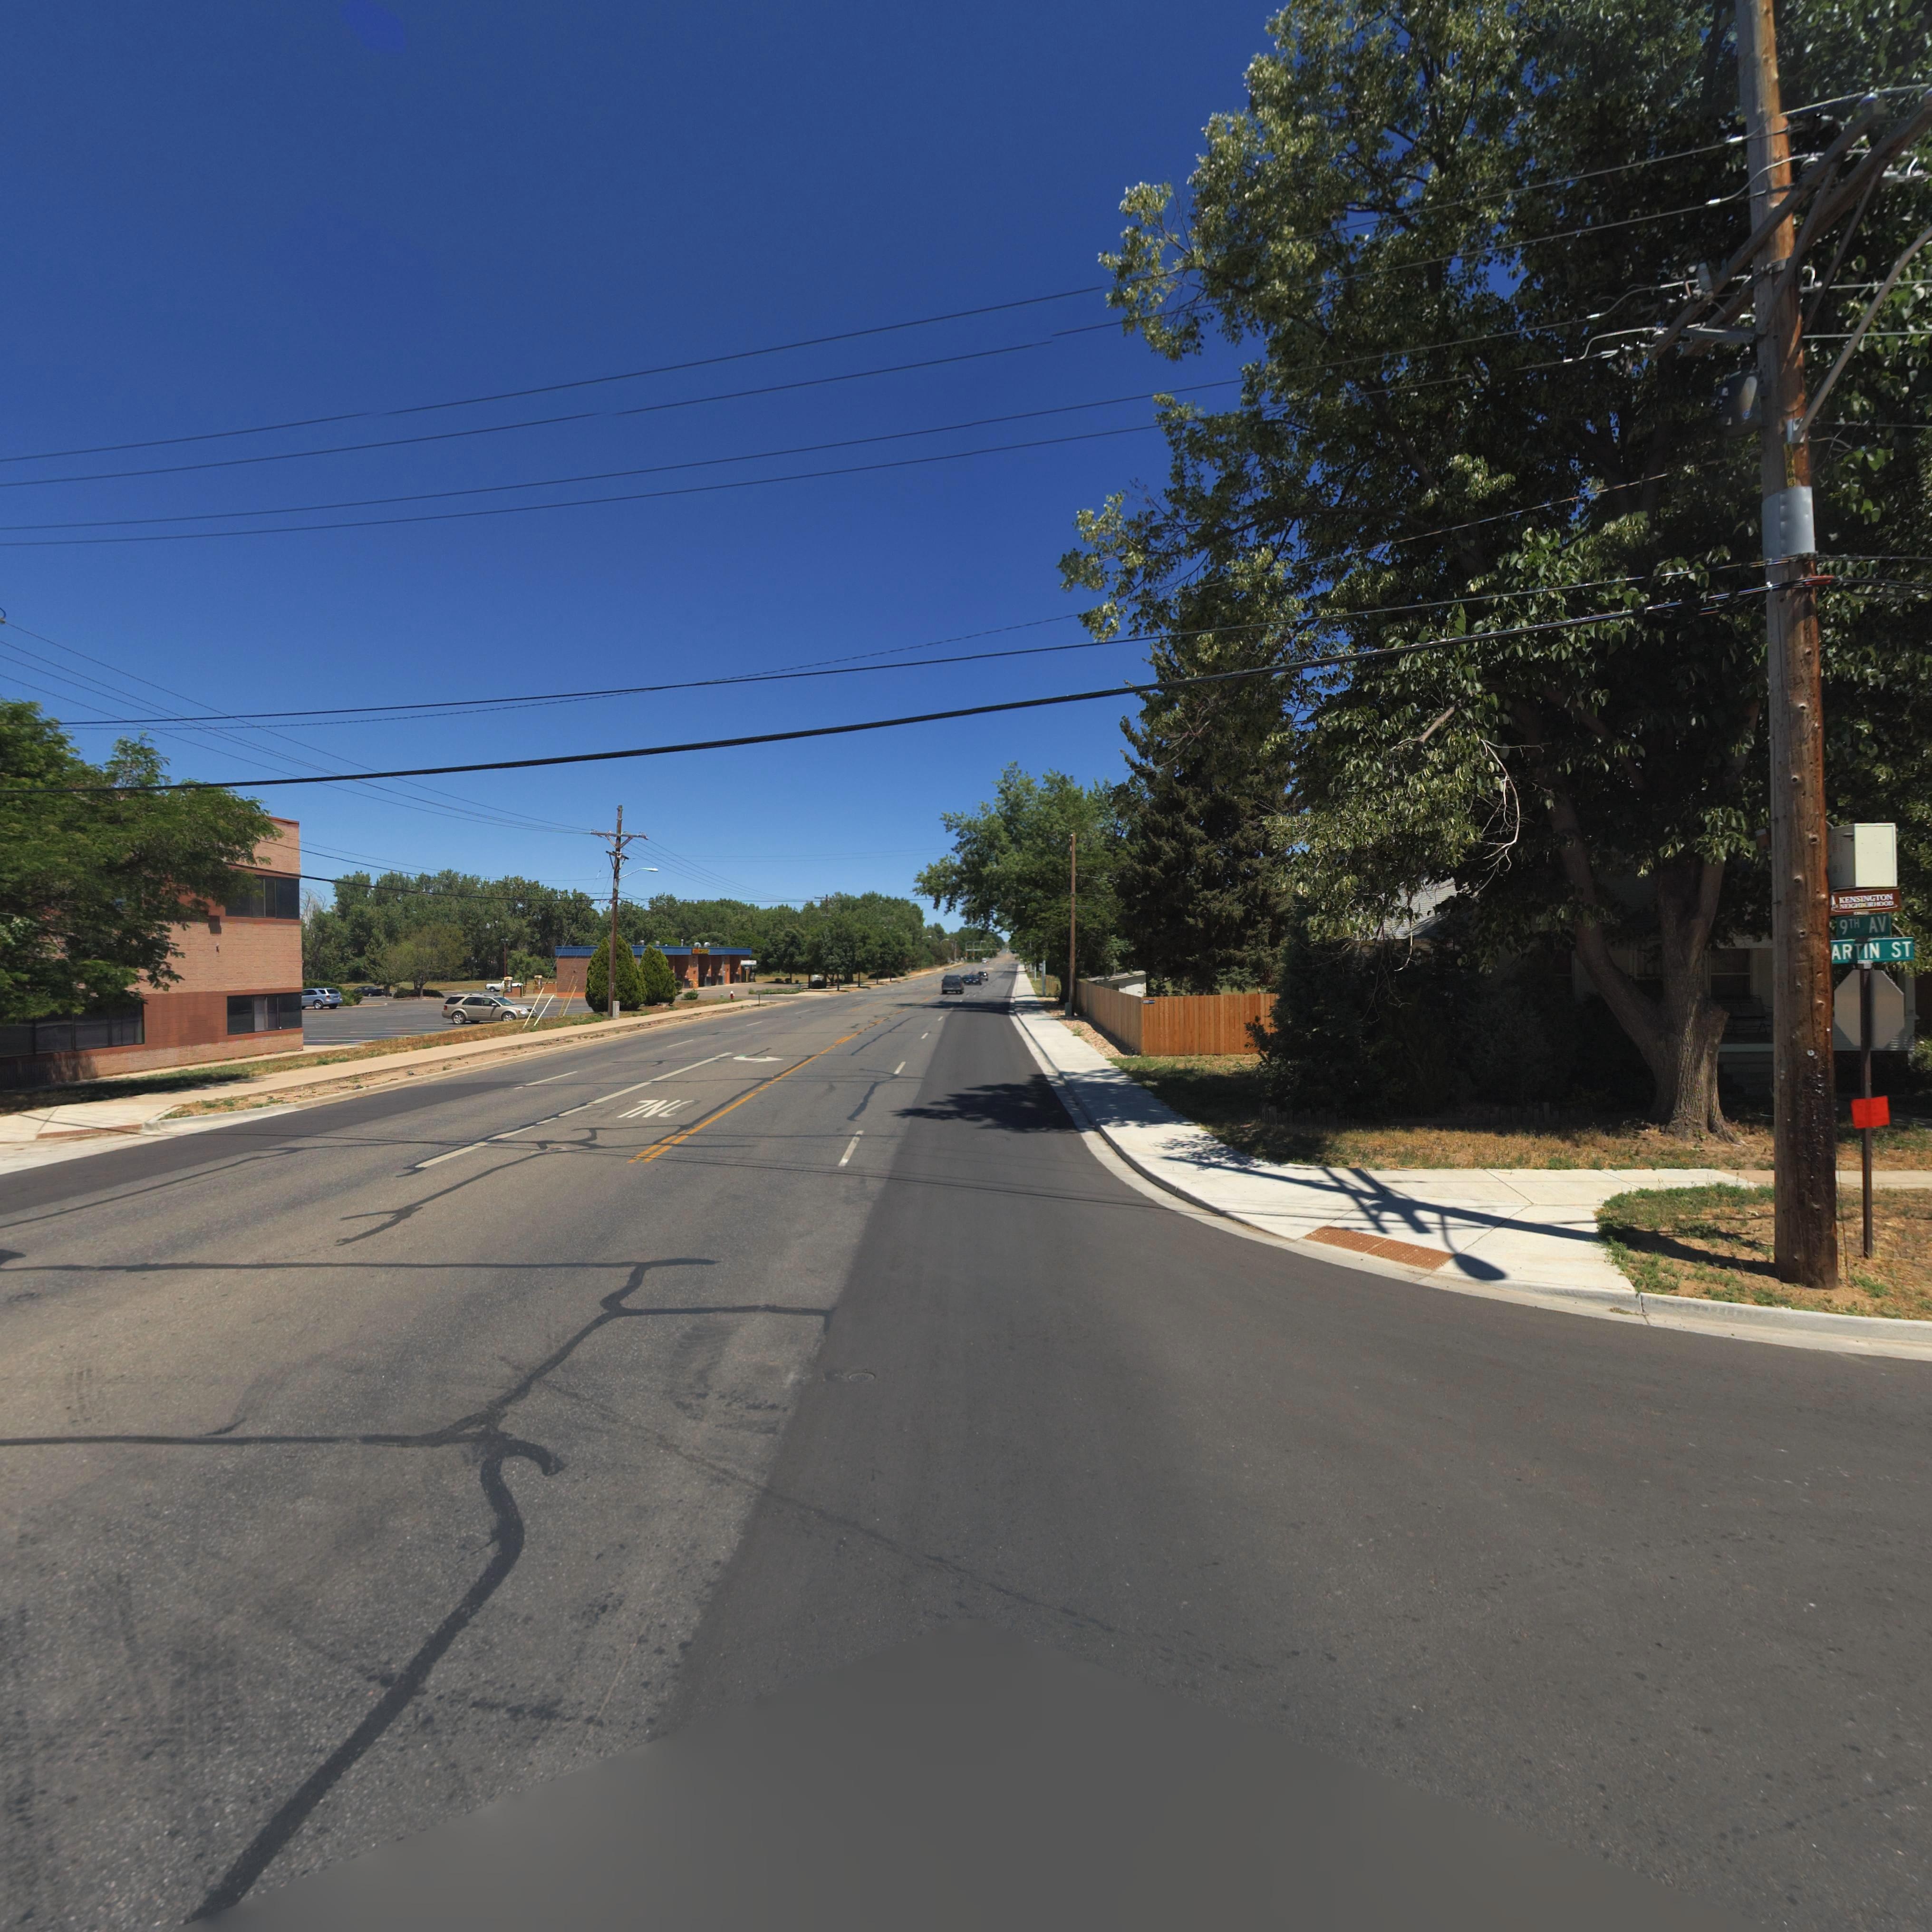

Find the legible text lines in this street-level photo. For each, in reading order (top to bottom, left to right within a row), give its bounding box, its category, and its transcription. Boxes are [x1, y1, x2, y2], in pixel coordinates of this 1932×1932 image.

[1839, 915, 1887, 935] StreetName: 9TH AV
[1830, 941, 1912, 961] StreetName: ARTIN ST